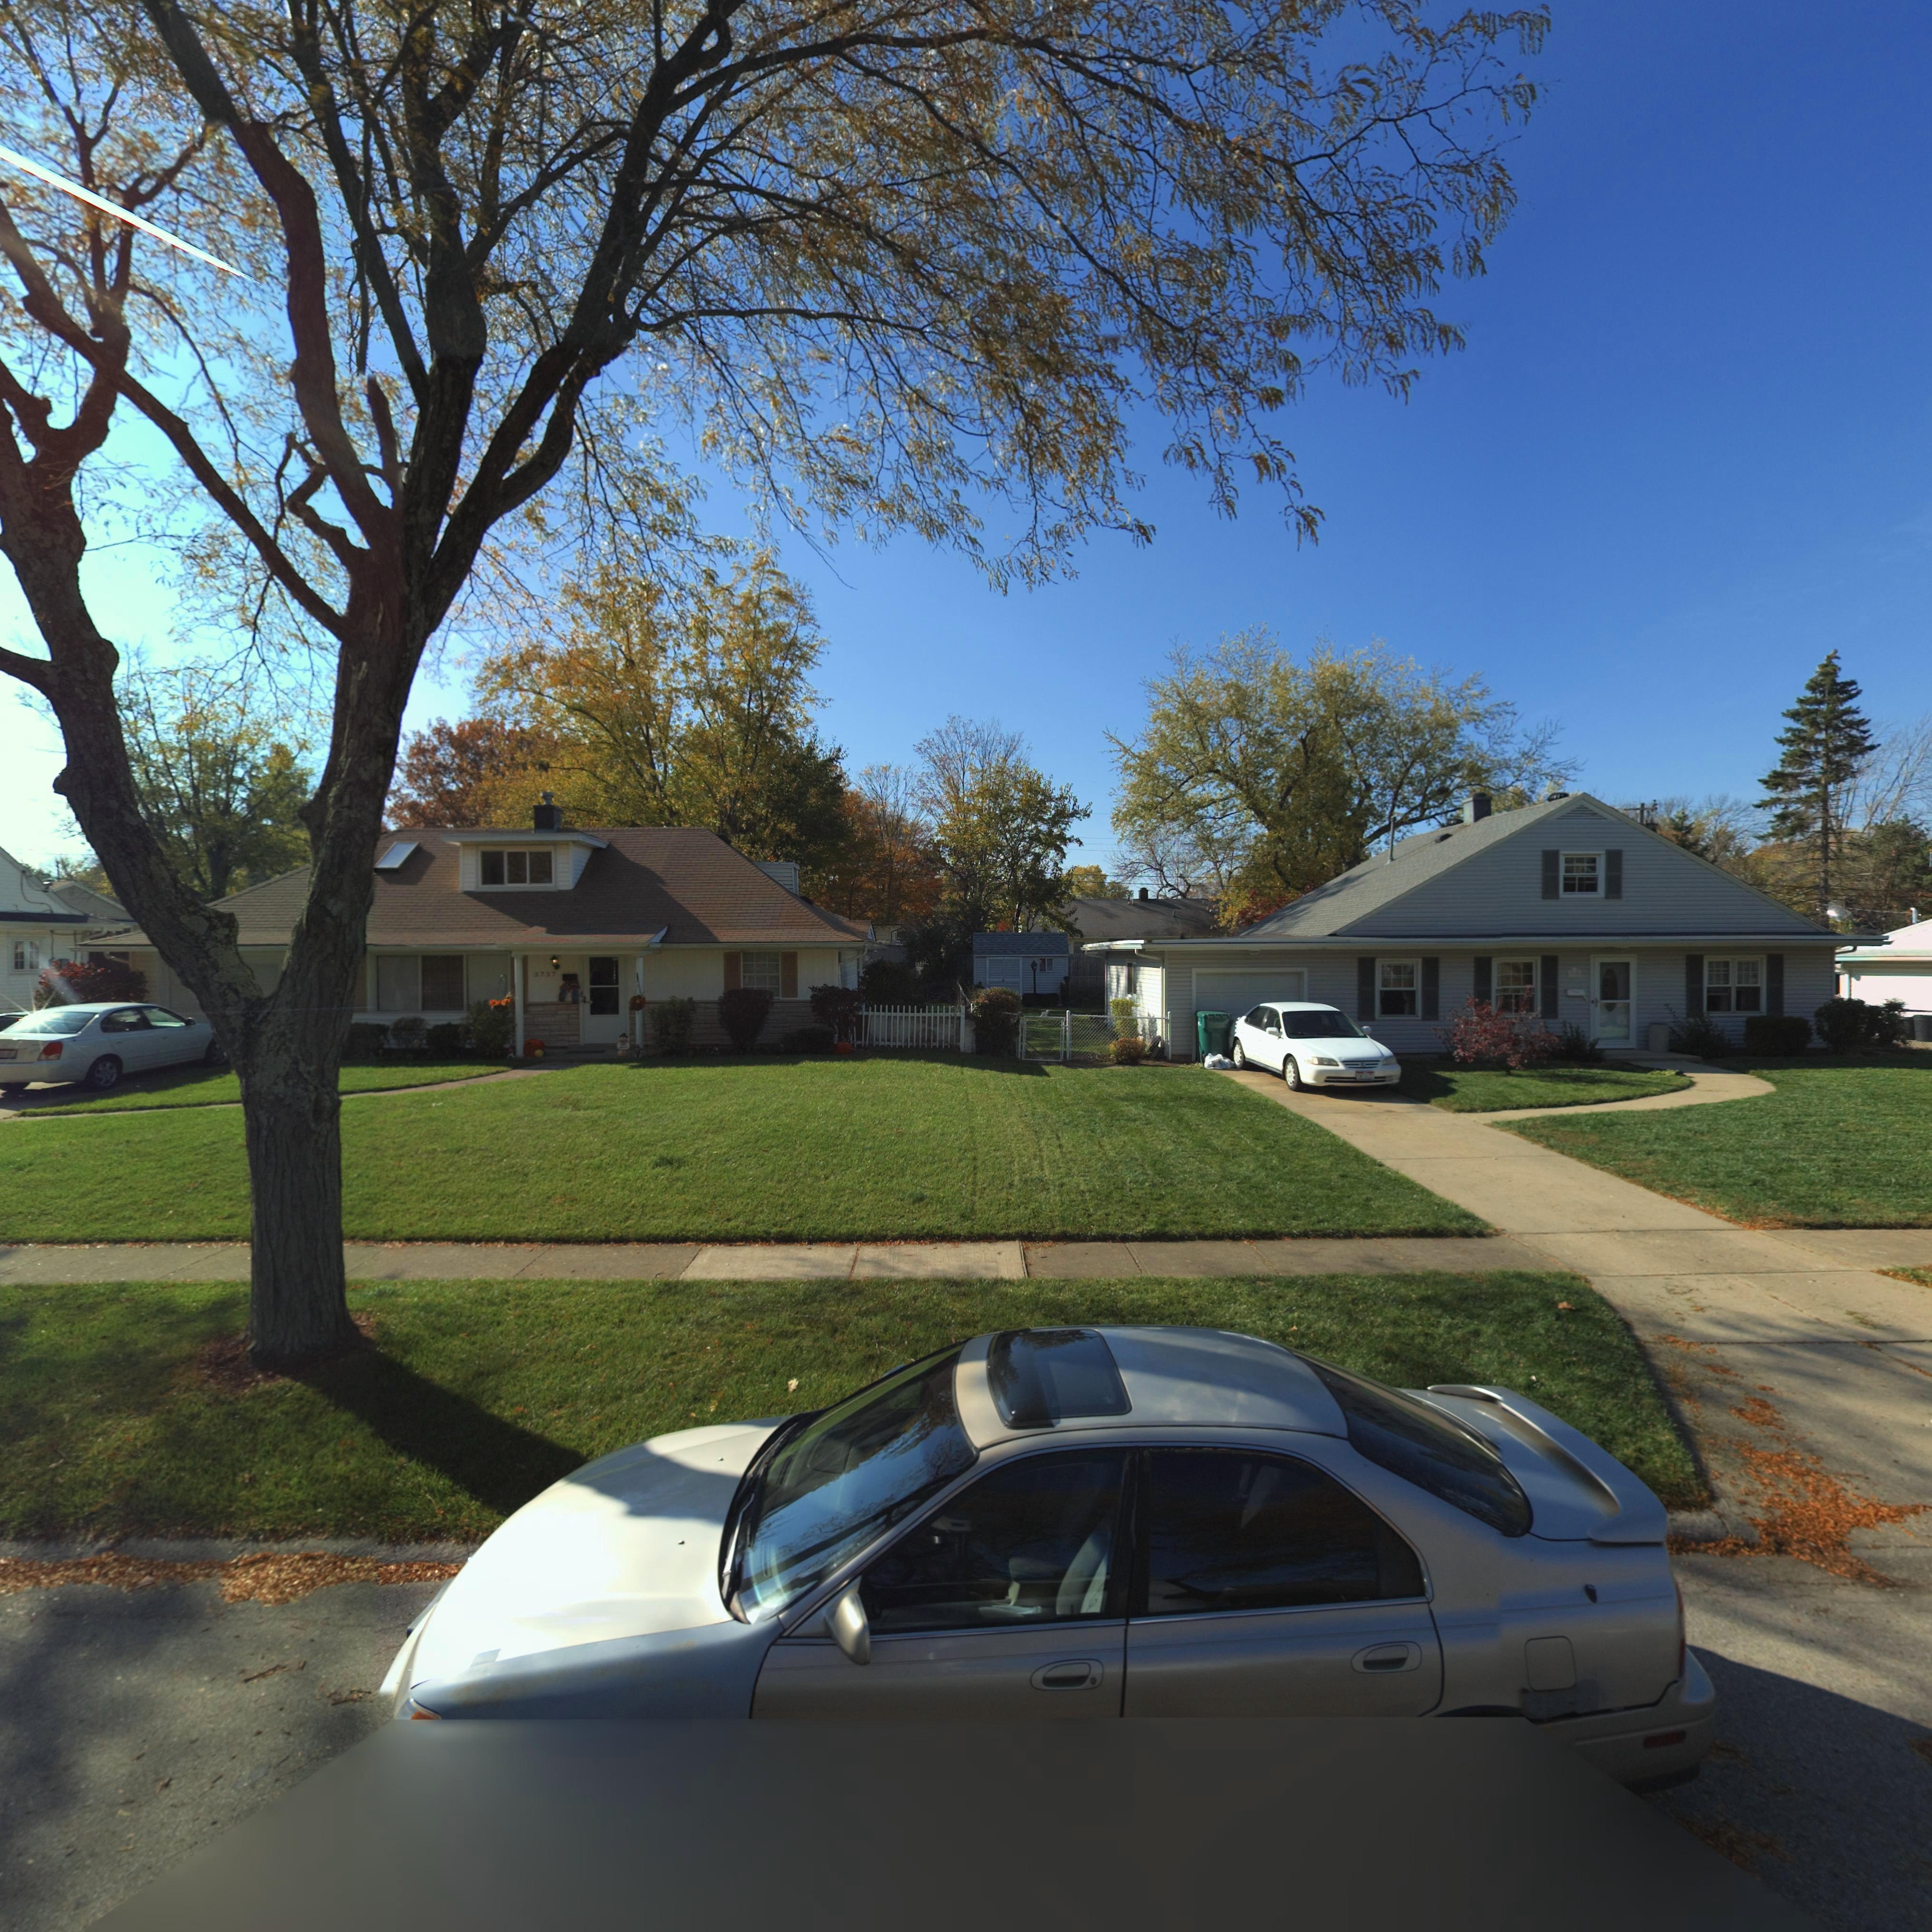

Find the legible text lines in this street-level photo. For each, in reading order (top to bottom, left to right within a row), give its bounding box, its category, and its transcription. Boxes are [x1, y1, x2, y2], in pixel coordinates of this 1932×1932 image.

[533, 971, 557, 977] StreetNumber: 3737